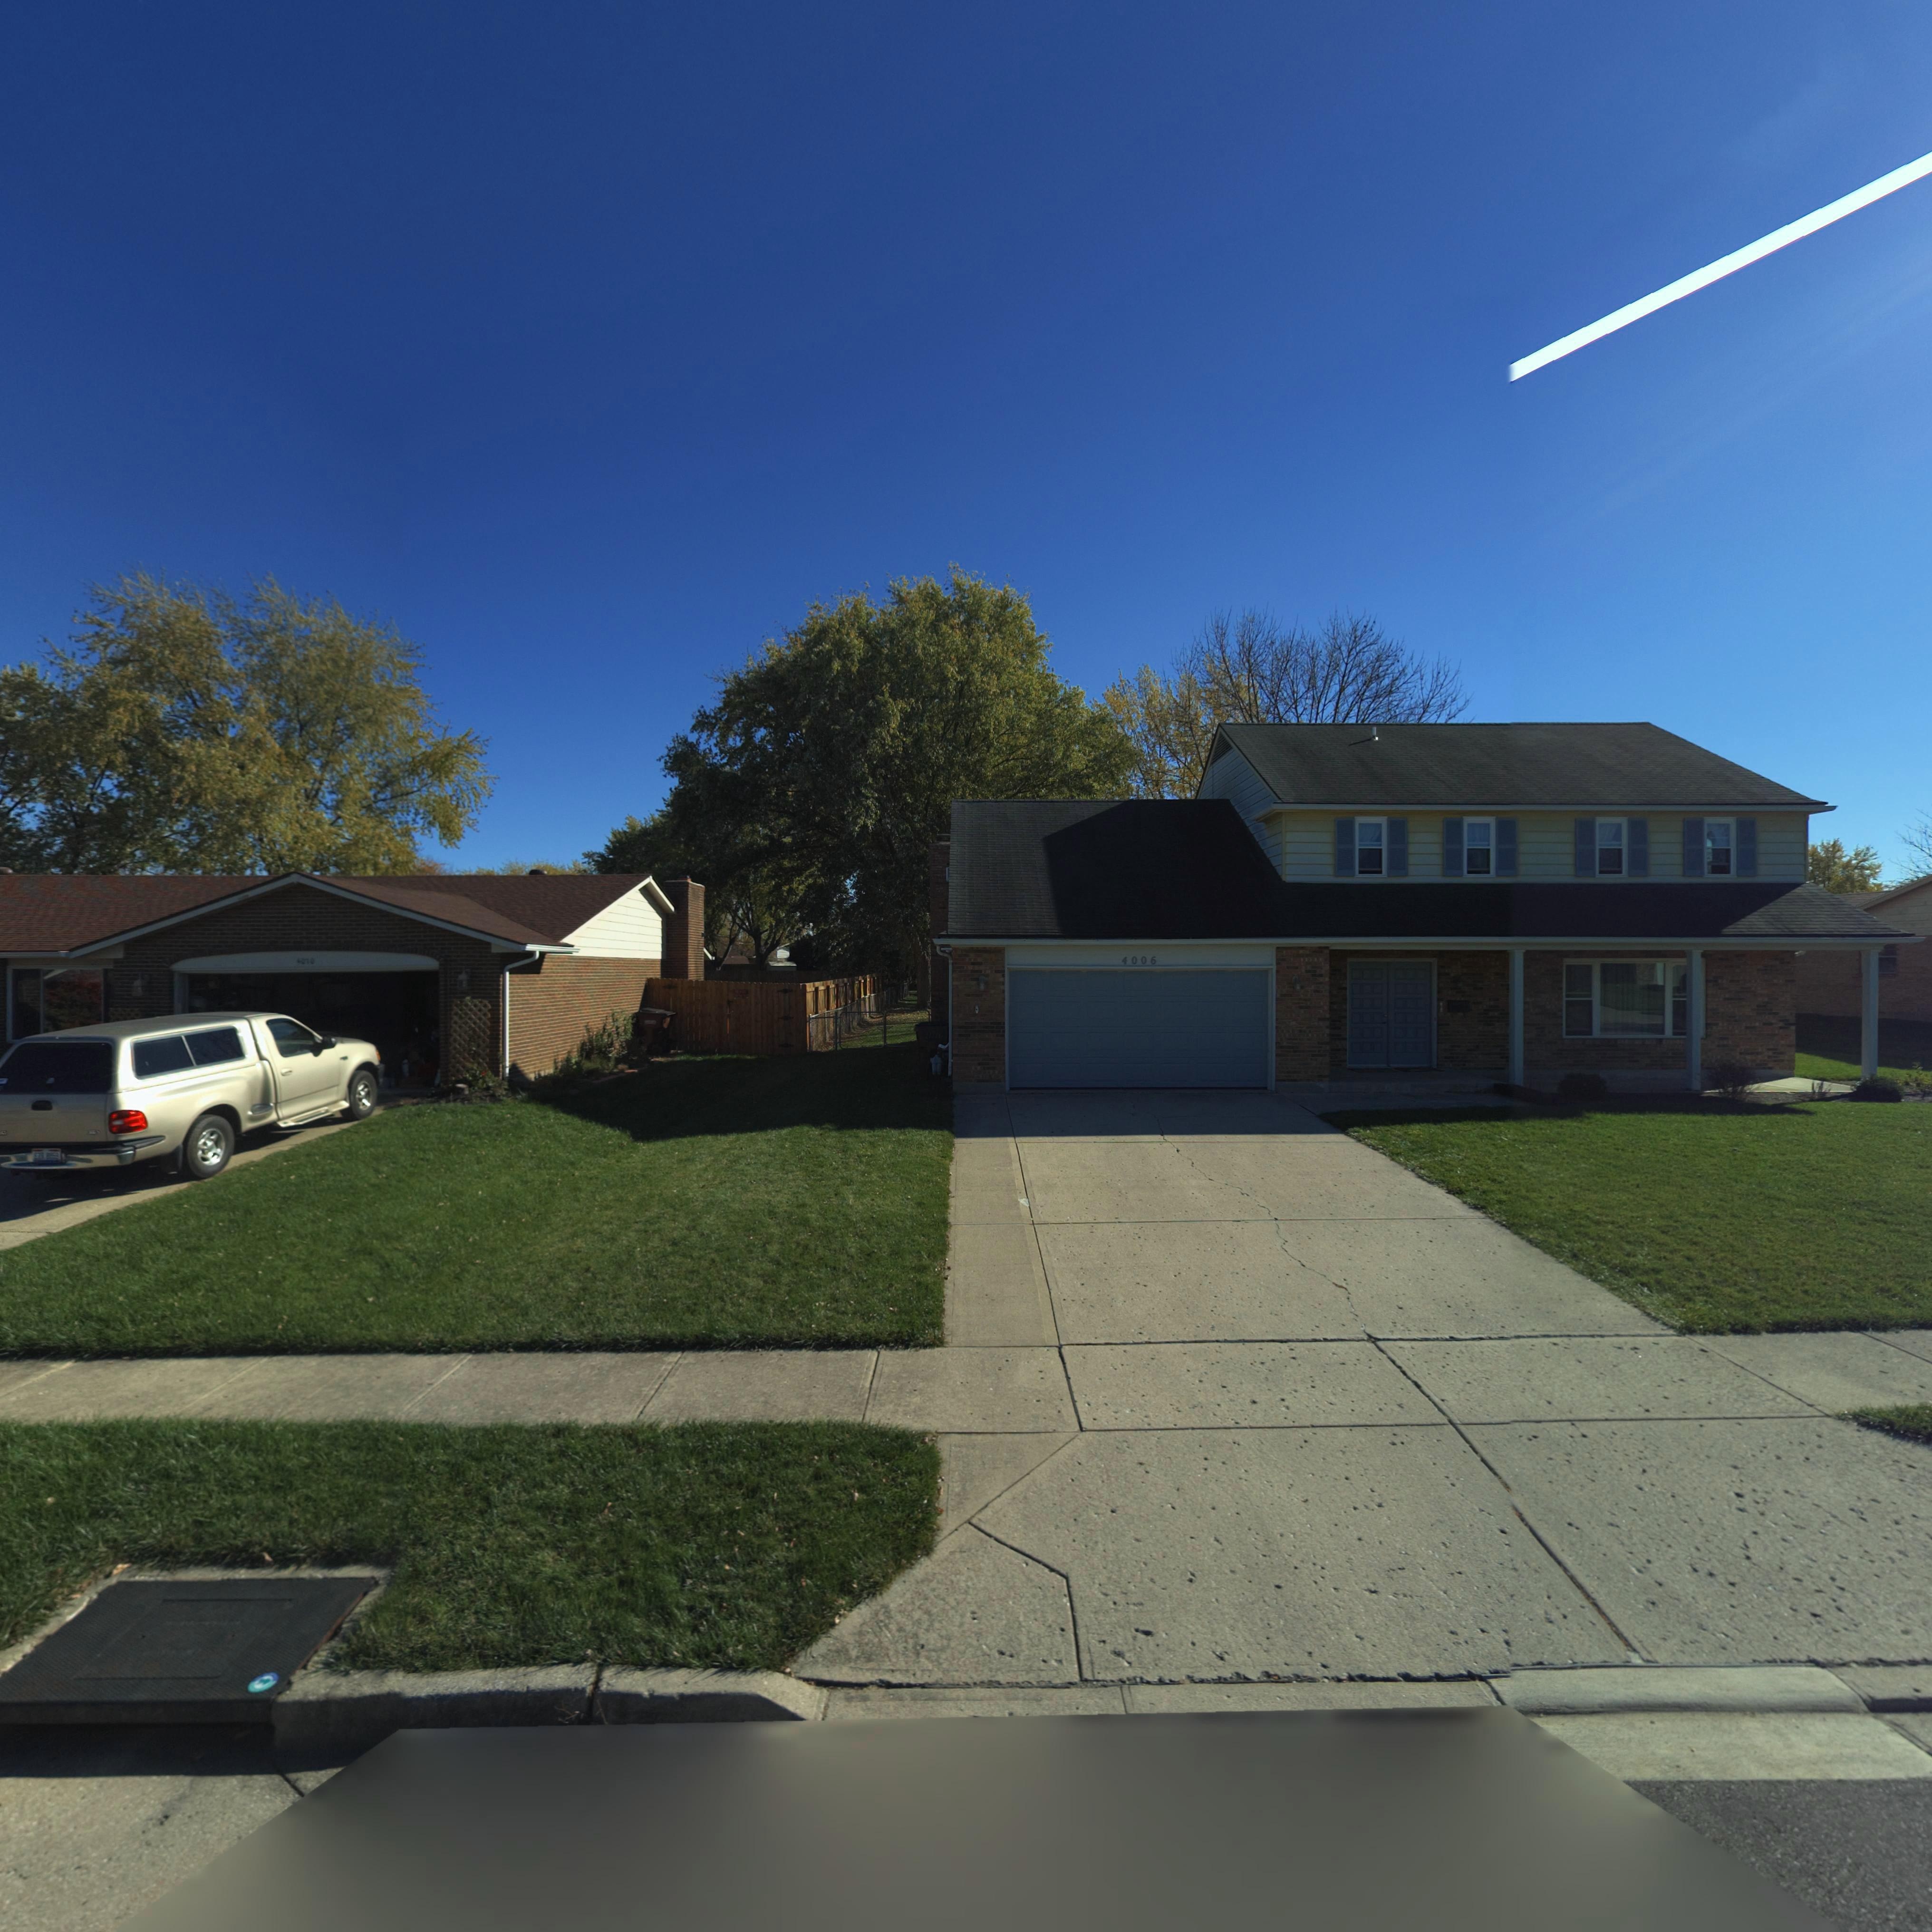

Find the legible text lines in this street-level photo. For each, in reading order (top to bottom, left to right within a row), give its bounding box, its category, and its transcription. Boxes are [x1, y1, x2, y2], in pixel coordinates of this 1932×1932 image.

[295, 957, 315, 965] StreetNumber: 4010
[1121, 956, 1157, 965] StreetNumber: 4006